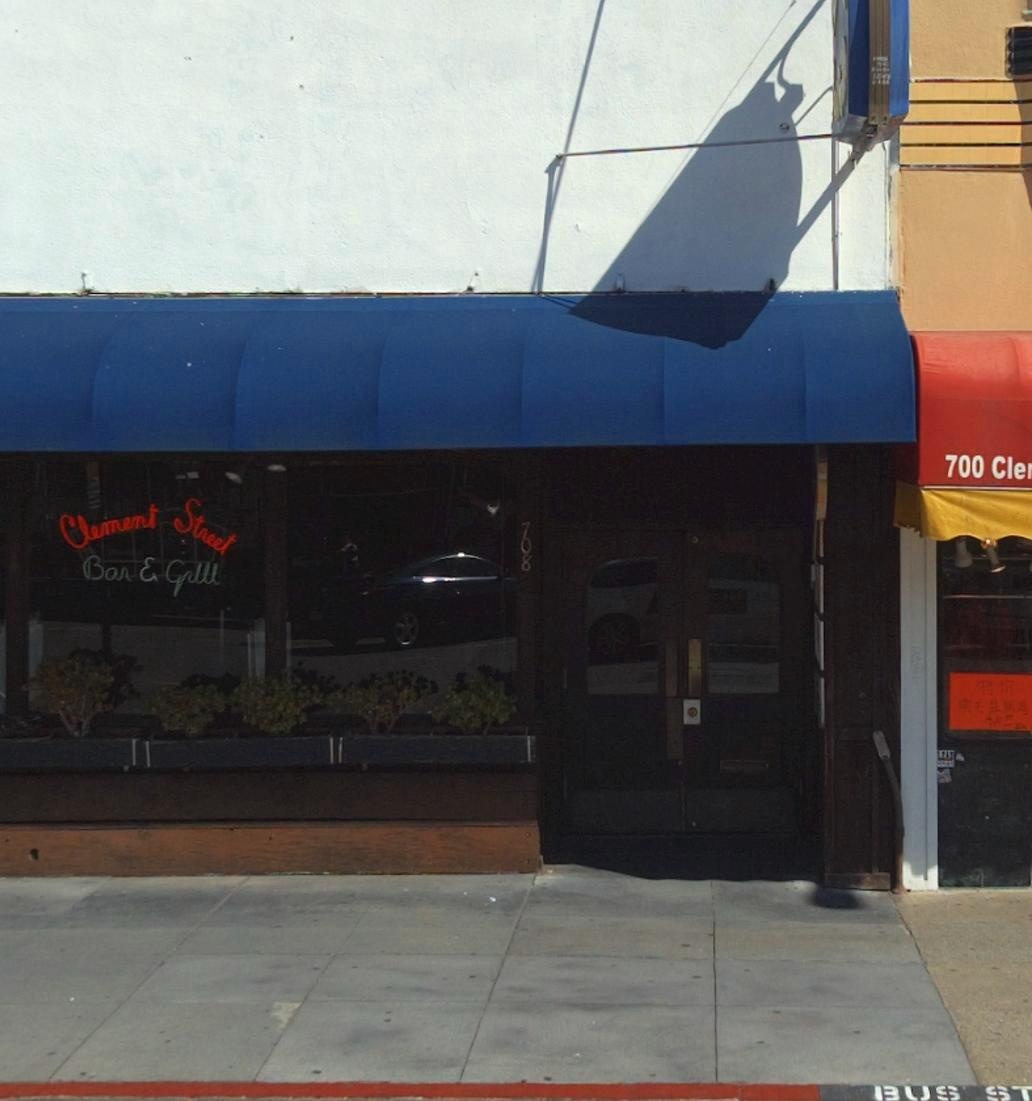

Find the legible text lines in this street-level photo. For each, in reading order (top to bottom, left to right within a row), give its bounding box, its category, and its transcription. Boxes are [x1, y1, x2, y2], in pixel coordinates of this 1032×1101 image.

[944, 453, 986, 480] StreetNumber: 700
[989, 455, 1026, 480] StreetName: Cle
[49, 496, 241, 559] BusinessName: Clement Street
[519, 520, 533, 573] StreetNumber: 708
[81, 555, 222, 599] BusinessName: Bar & Grill
[873, 1084, 1032, 1100] None: BUS ST